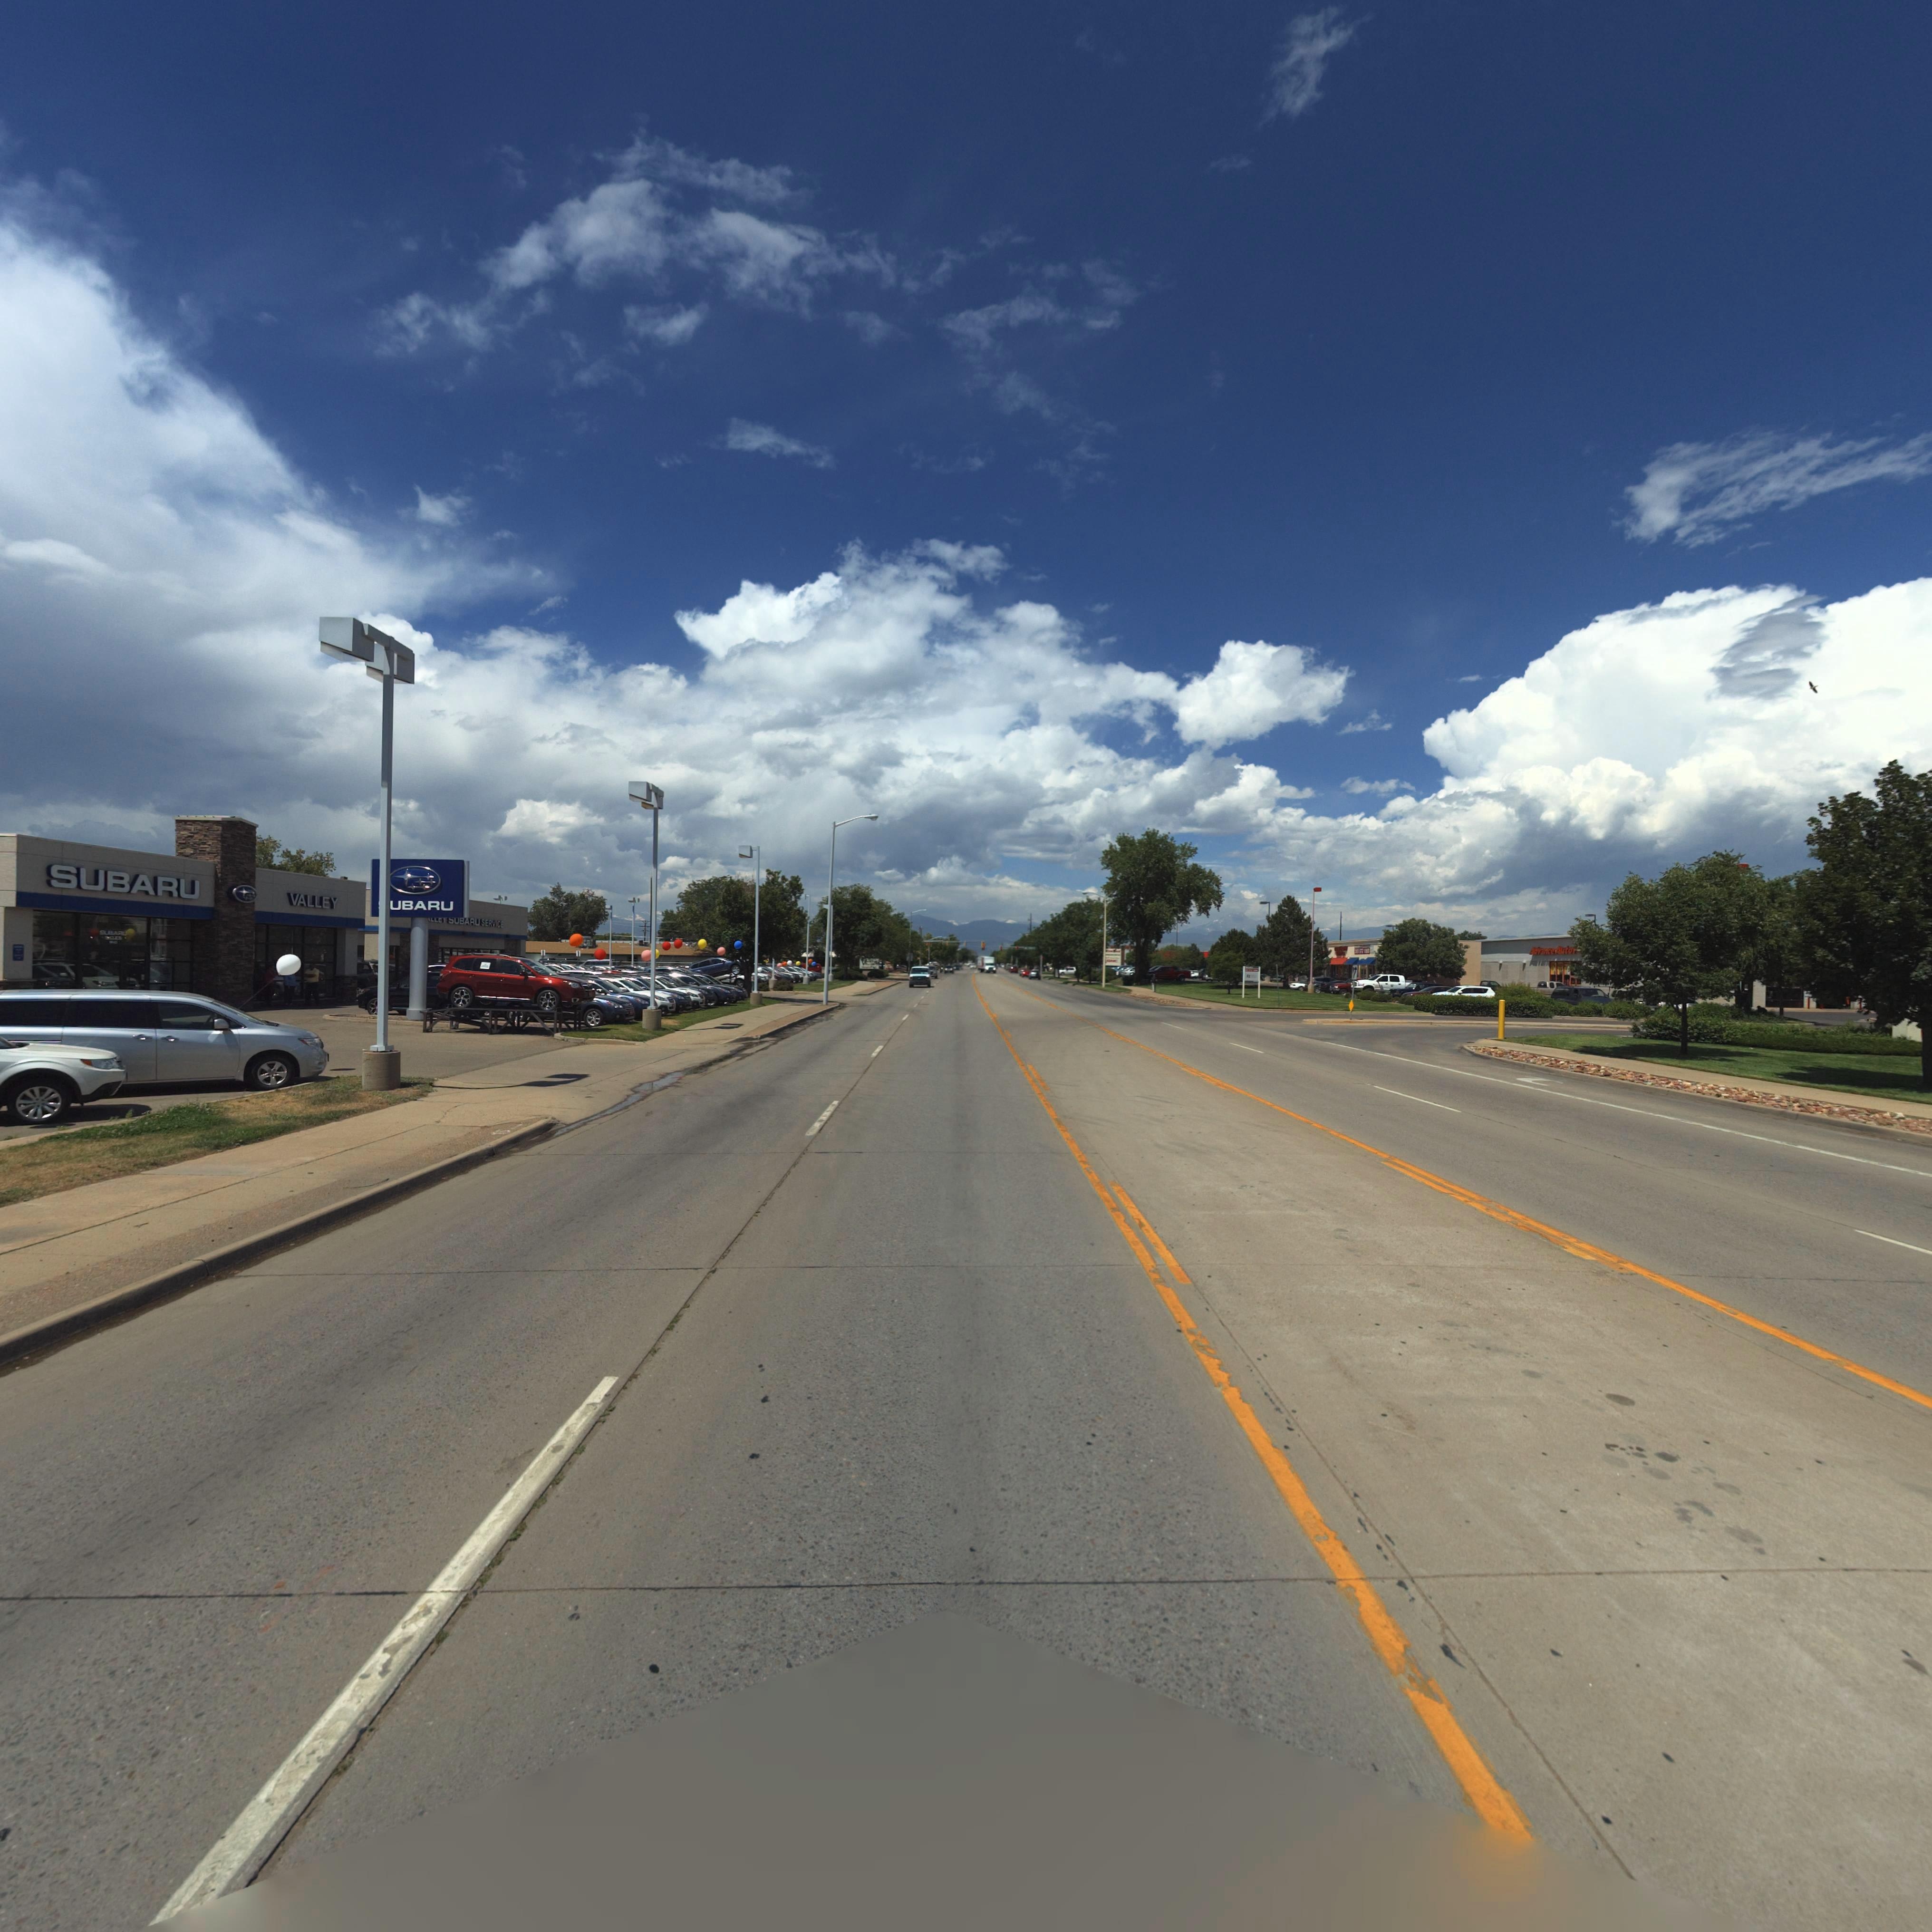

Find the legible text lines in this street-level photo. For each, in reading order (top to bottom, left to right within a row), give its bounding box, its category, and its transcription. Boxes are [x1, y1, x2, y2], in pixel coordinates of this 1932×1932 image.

[48, 863, 201, 899] BusinessName: SUBARU
[289, 892, 338, 909] BusinessName: VALLEY
[378, 899, 454, 911] BusinessName: *UBARU
[431, 917, 504, 928] BusinessName: LL** SUBARU SERVICE
[99, 930, 128, 936] BusinessName: SUBARU
[1528, 945, 1573, 955] BusinessName: Advance Auto
[860, 958, 868, 965] BusinessName: V
[1106, 959, 1118, 963] BusinessName: GNC